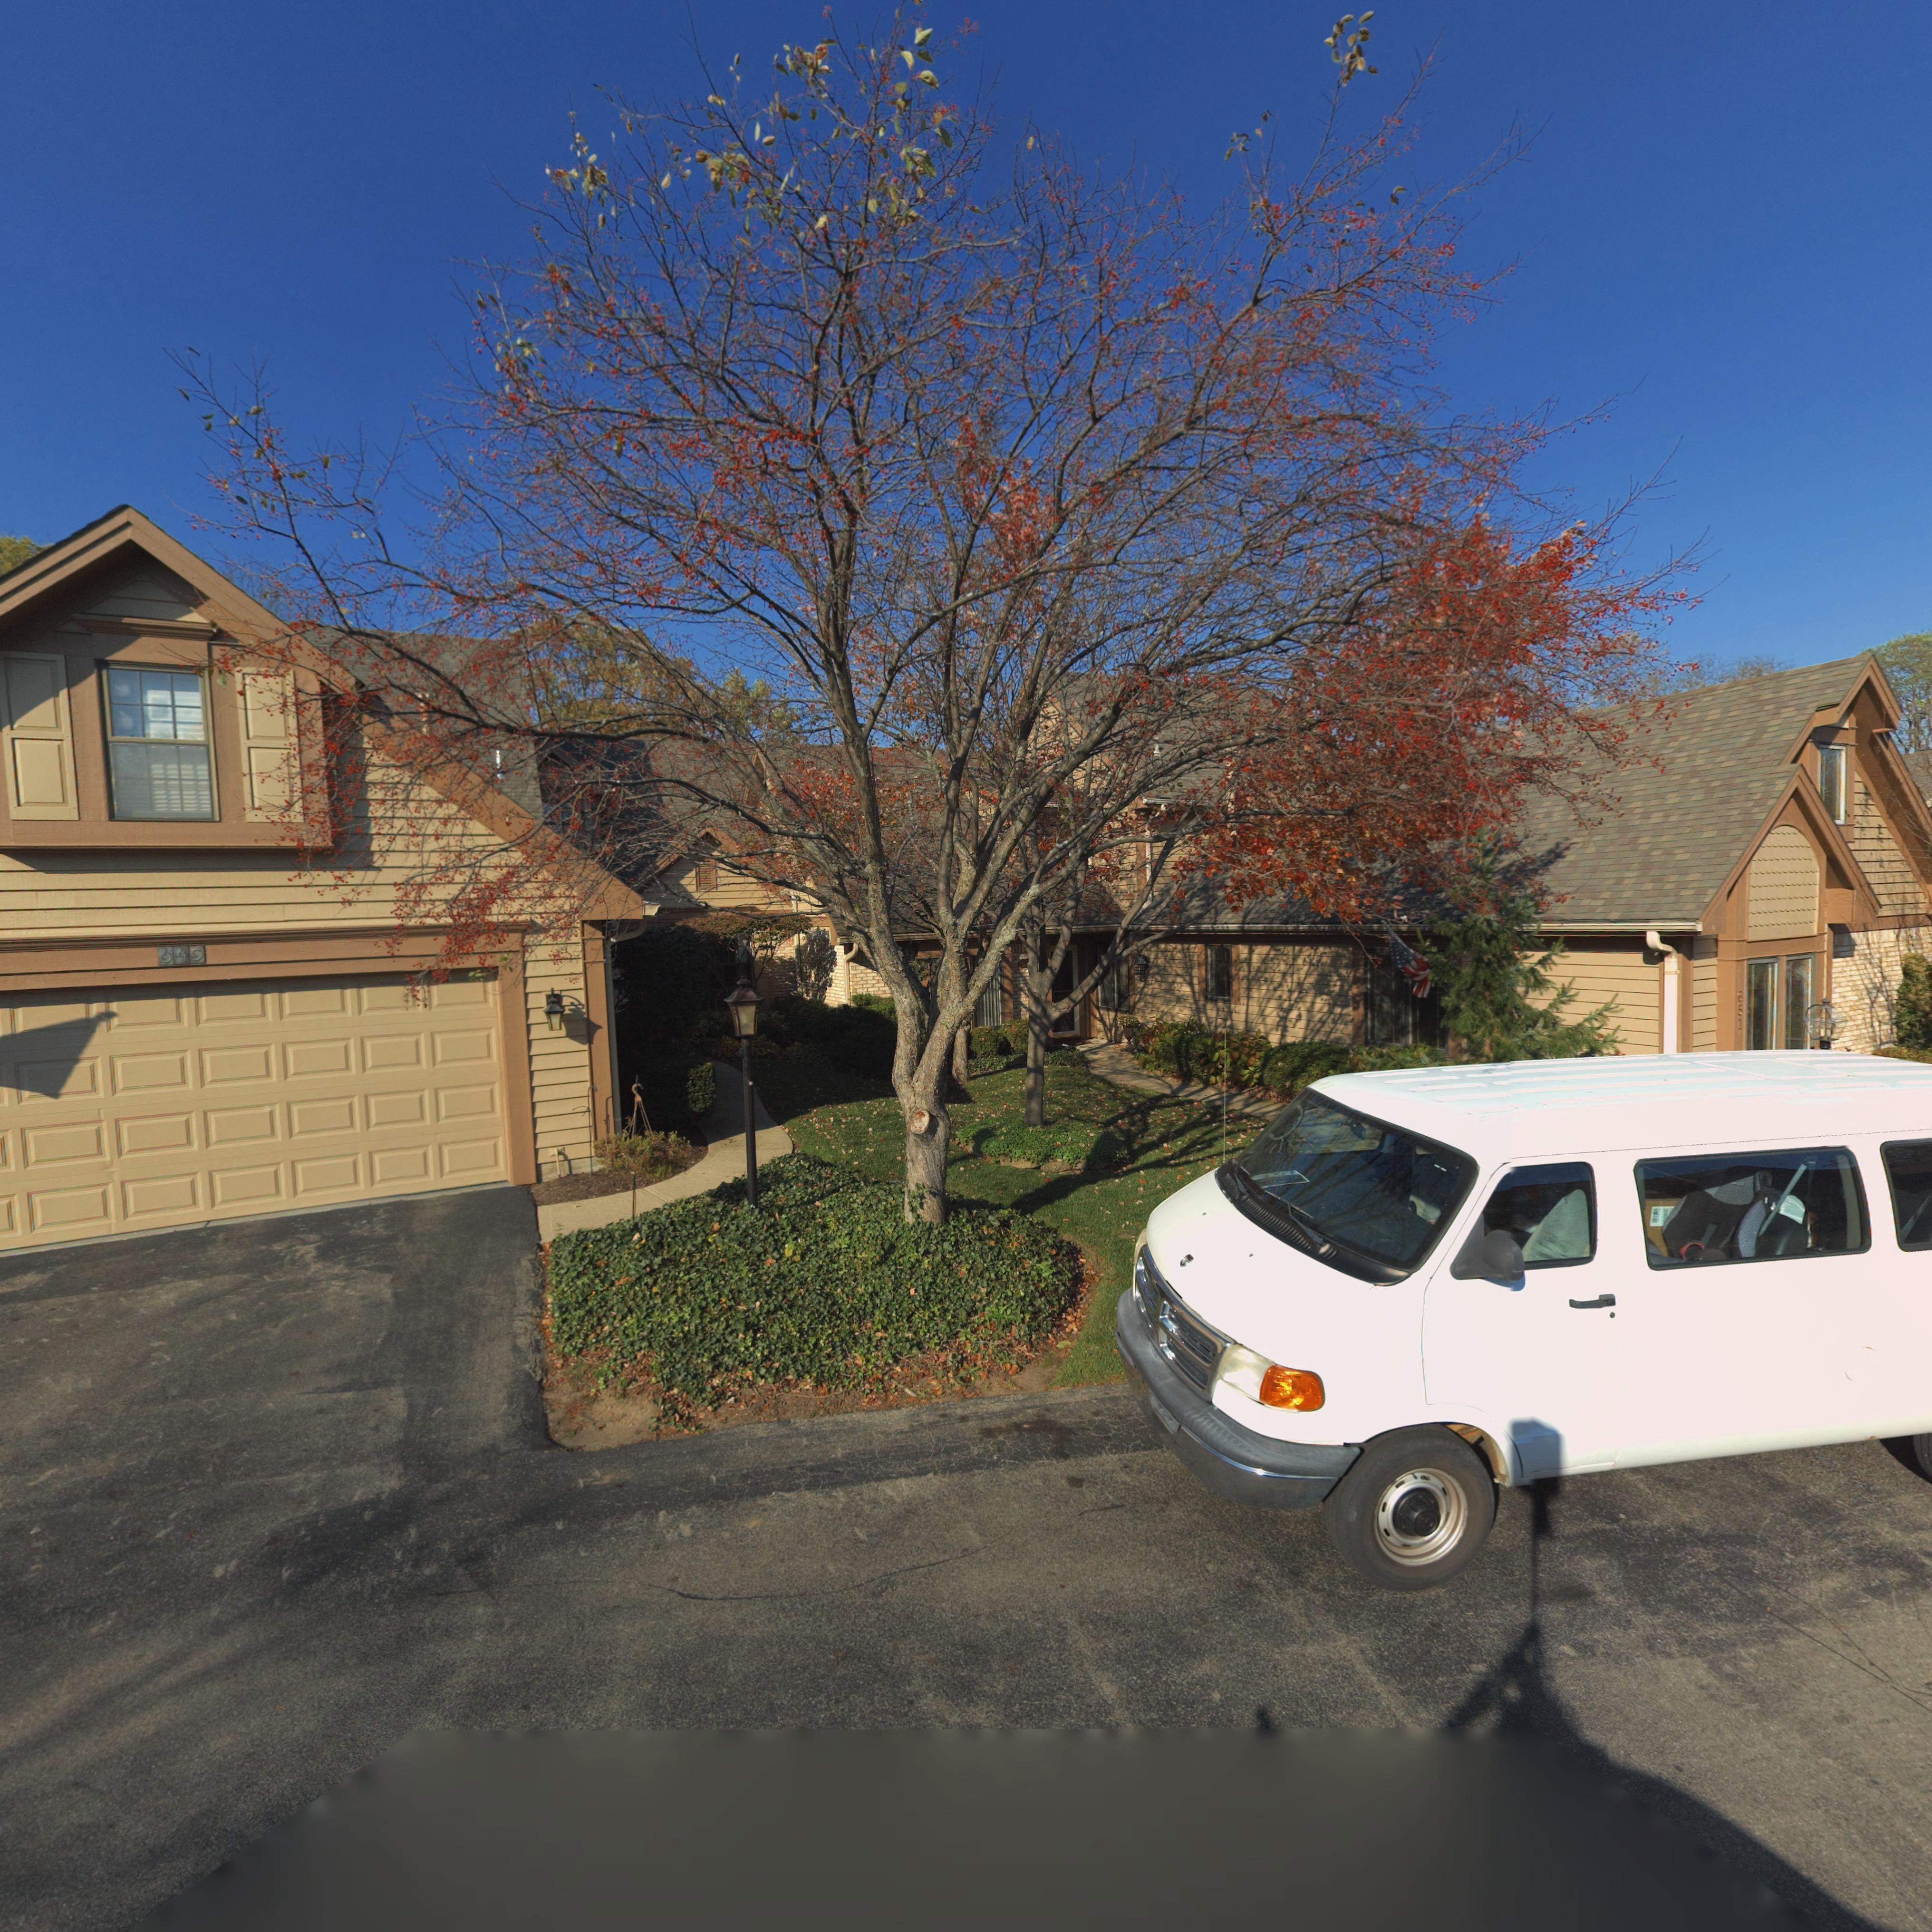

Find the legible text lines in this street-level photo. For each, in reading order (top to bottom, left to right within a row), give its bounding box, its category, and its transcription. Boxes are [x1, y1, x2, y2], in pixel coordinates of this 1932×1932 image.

[158, 947, 205, 964] StreetNumber: 649